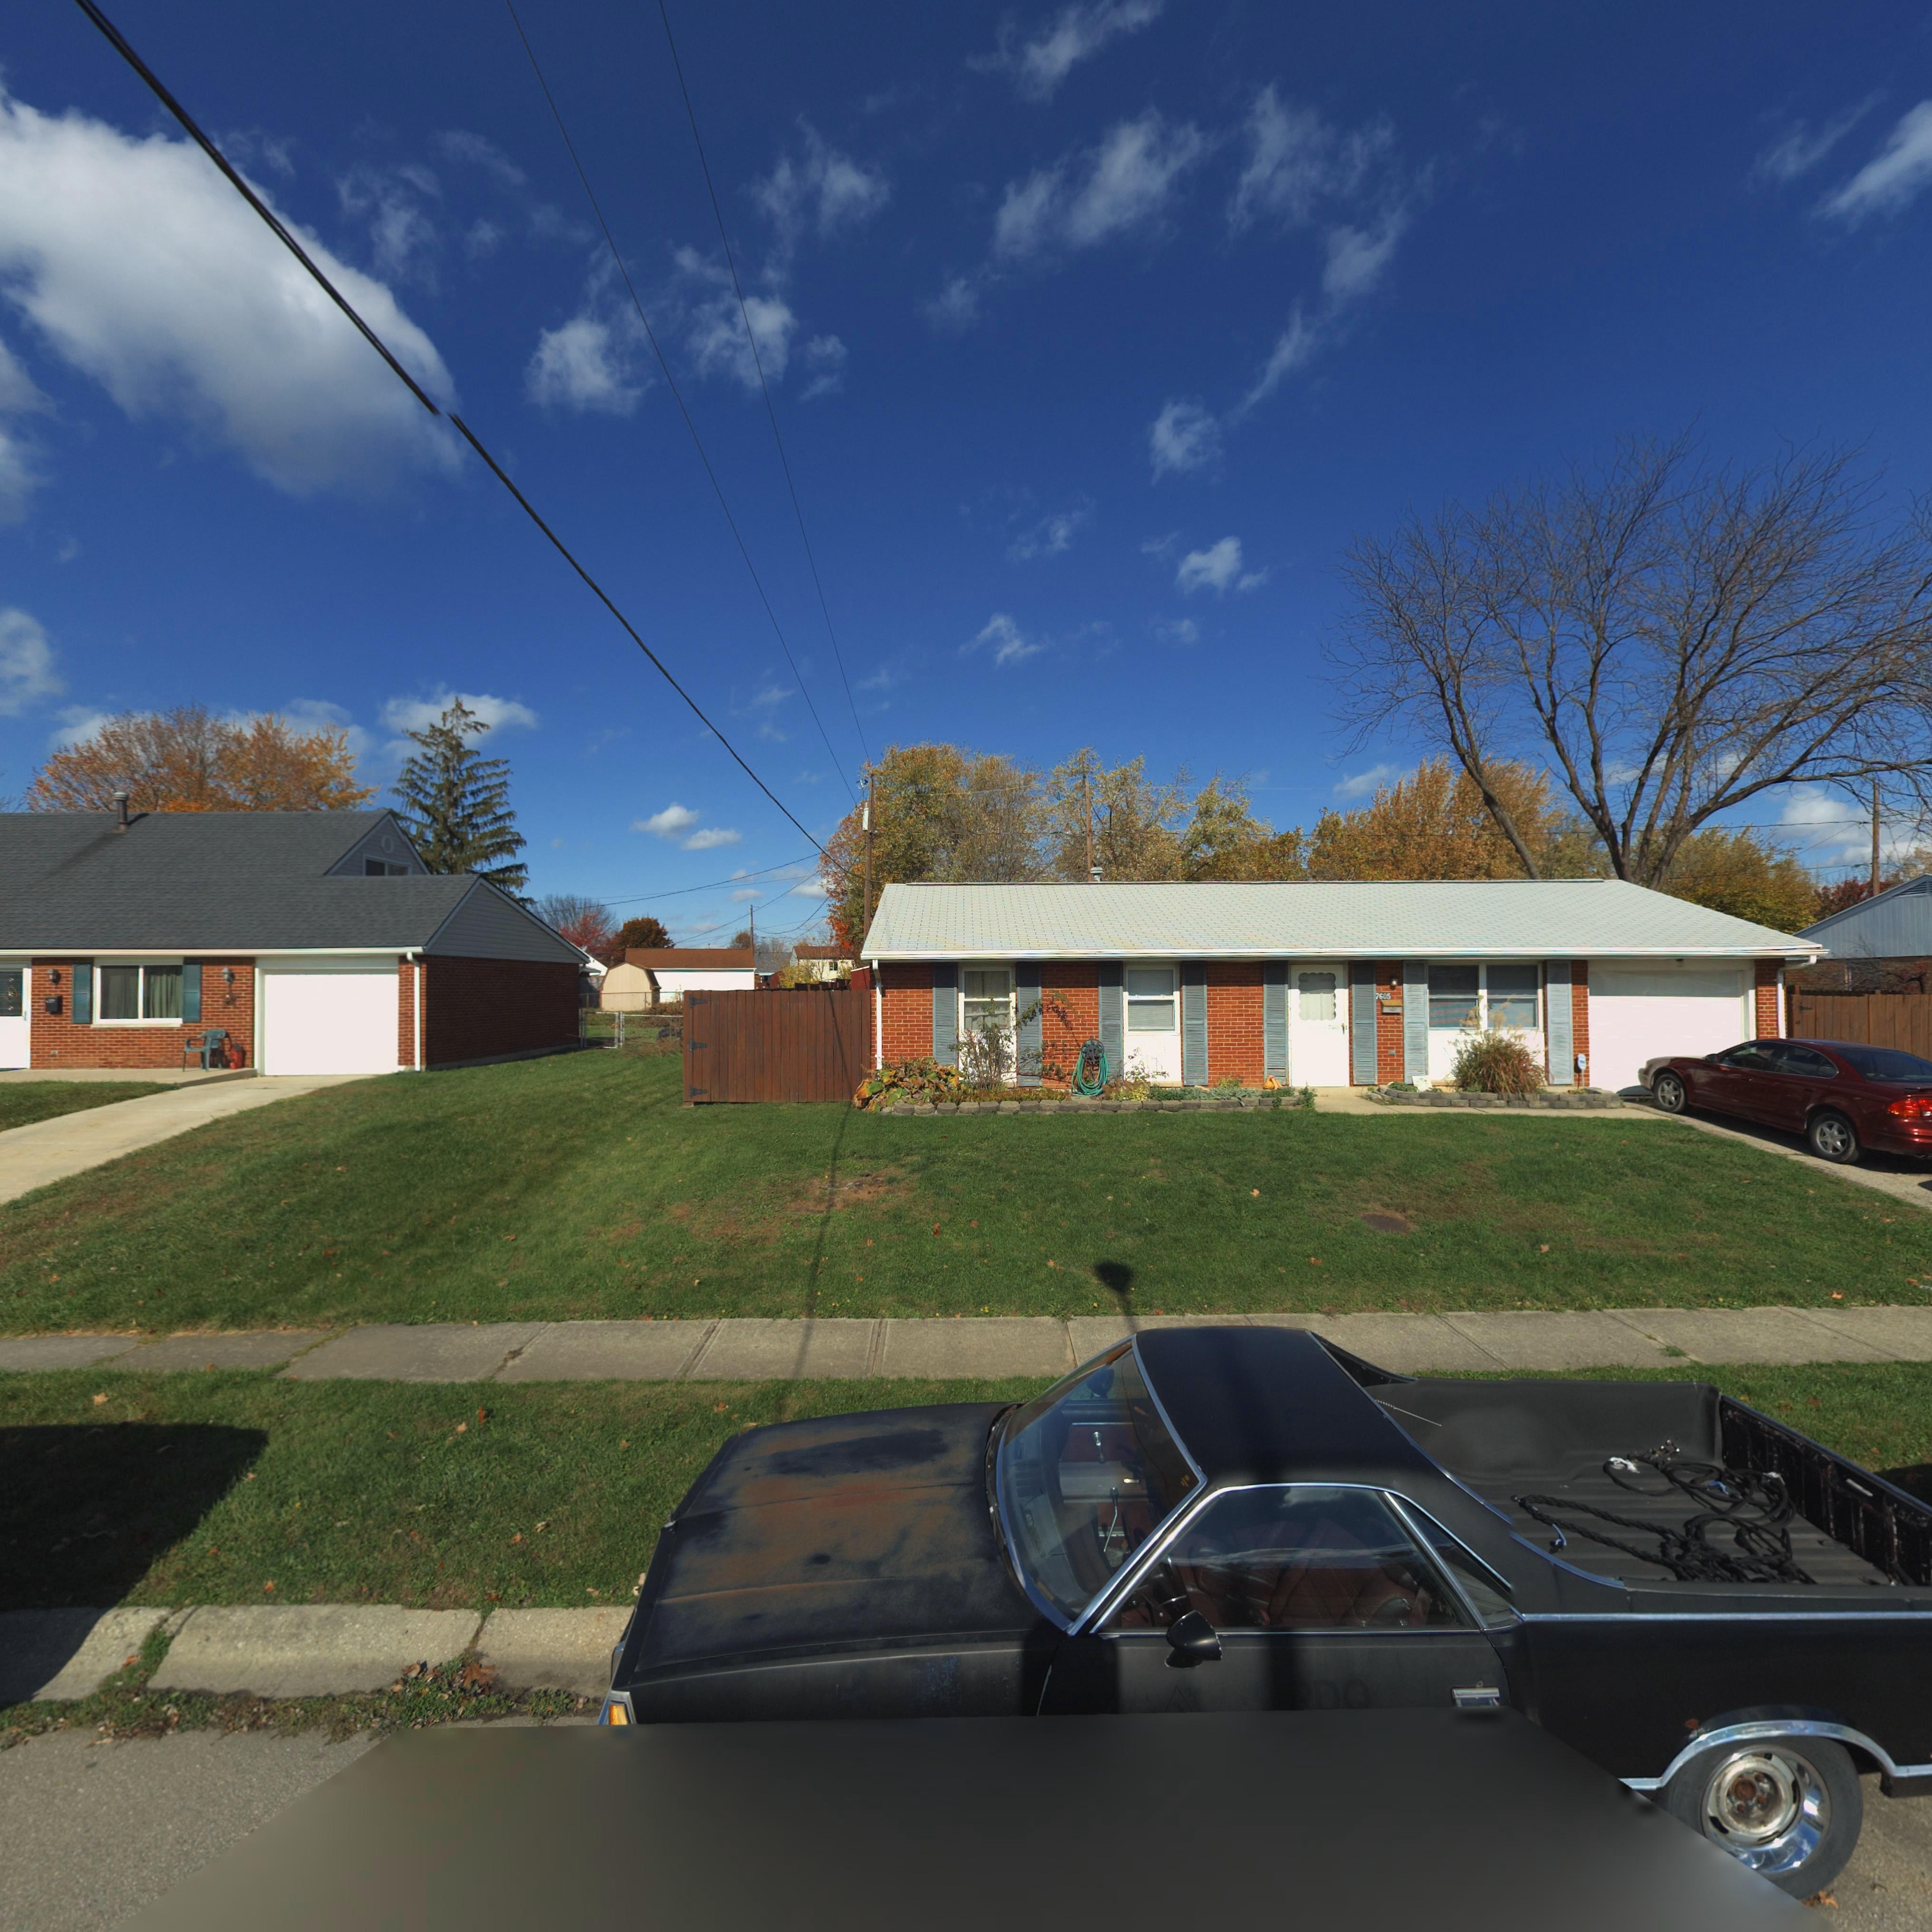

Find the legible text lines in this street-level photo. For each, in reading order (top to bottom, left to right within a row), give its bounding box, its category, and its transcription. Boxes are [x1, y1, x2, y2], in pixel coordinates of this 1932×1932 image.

[1375, 992, 1391, 1000] StreetNumber: 7605
[1328, 1024, 1338, 1030] StreetNumber: 760